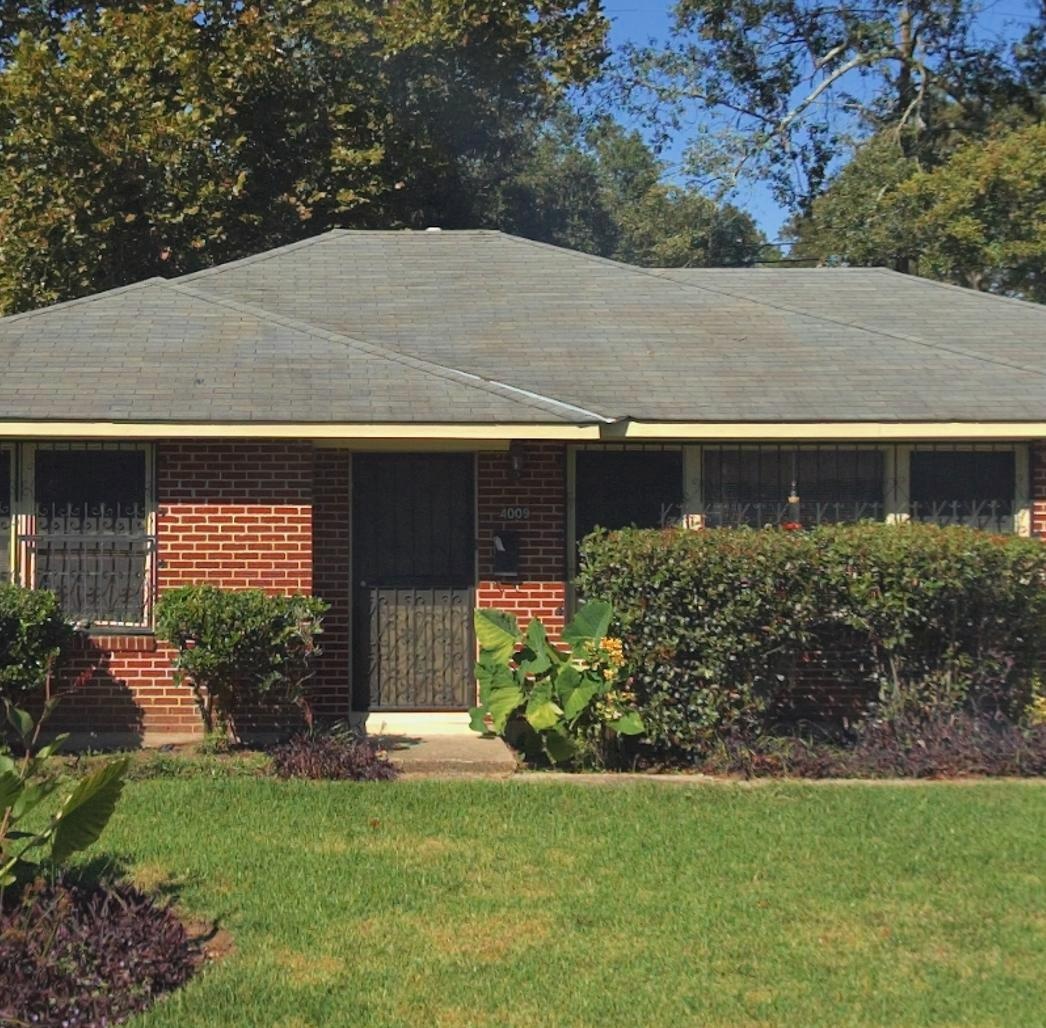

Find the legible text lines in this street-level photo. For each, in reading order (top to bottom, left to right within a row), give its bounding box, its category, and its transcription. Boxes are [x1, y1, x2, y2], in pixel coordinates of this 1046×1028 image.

[498, 507, 531, 520] StreetNumber: 4009